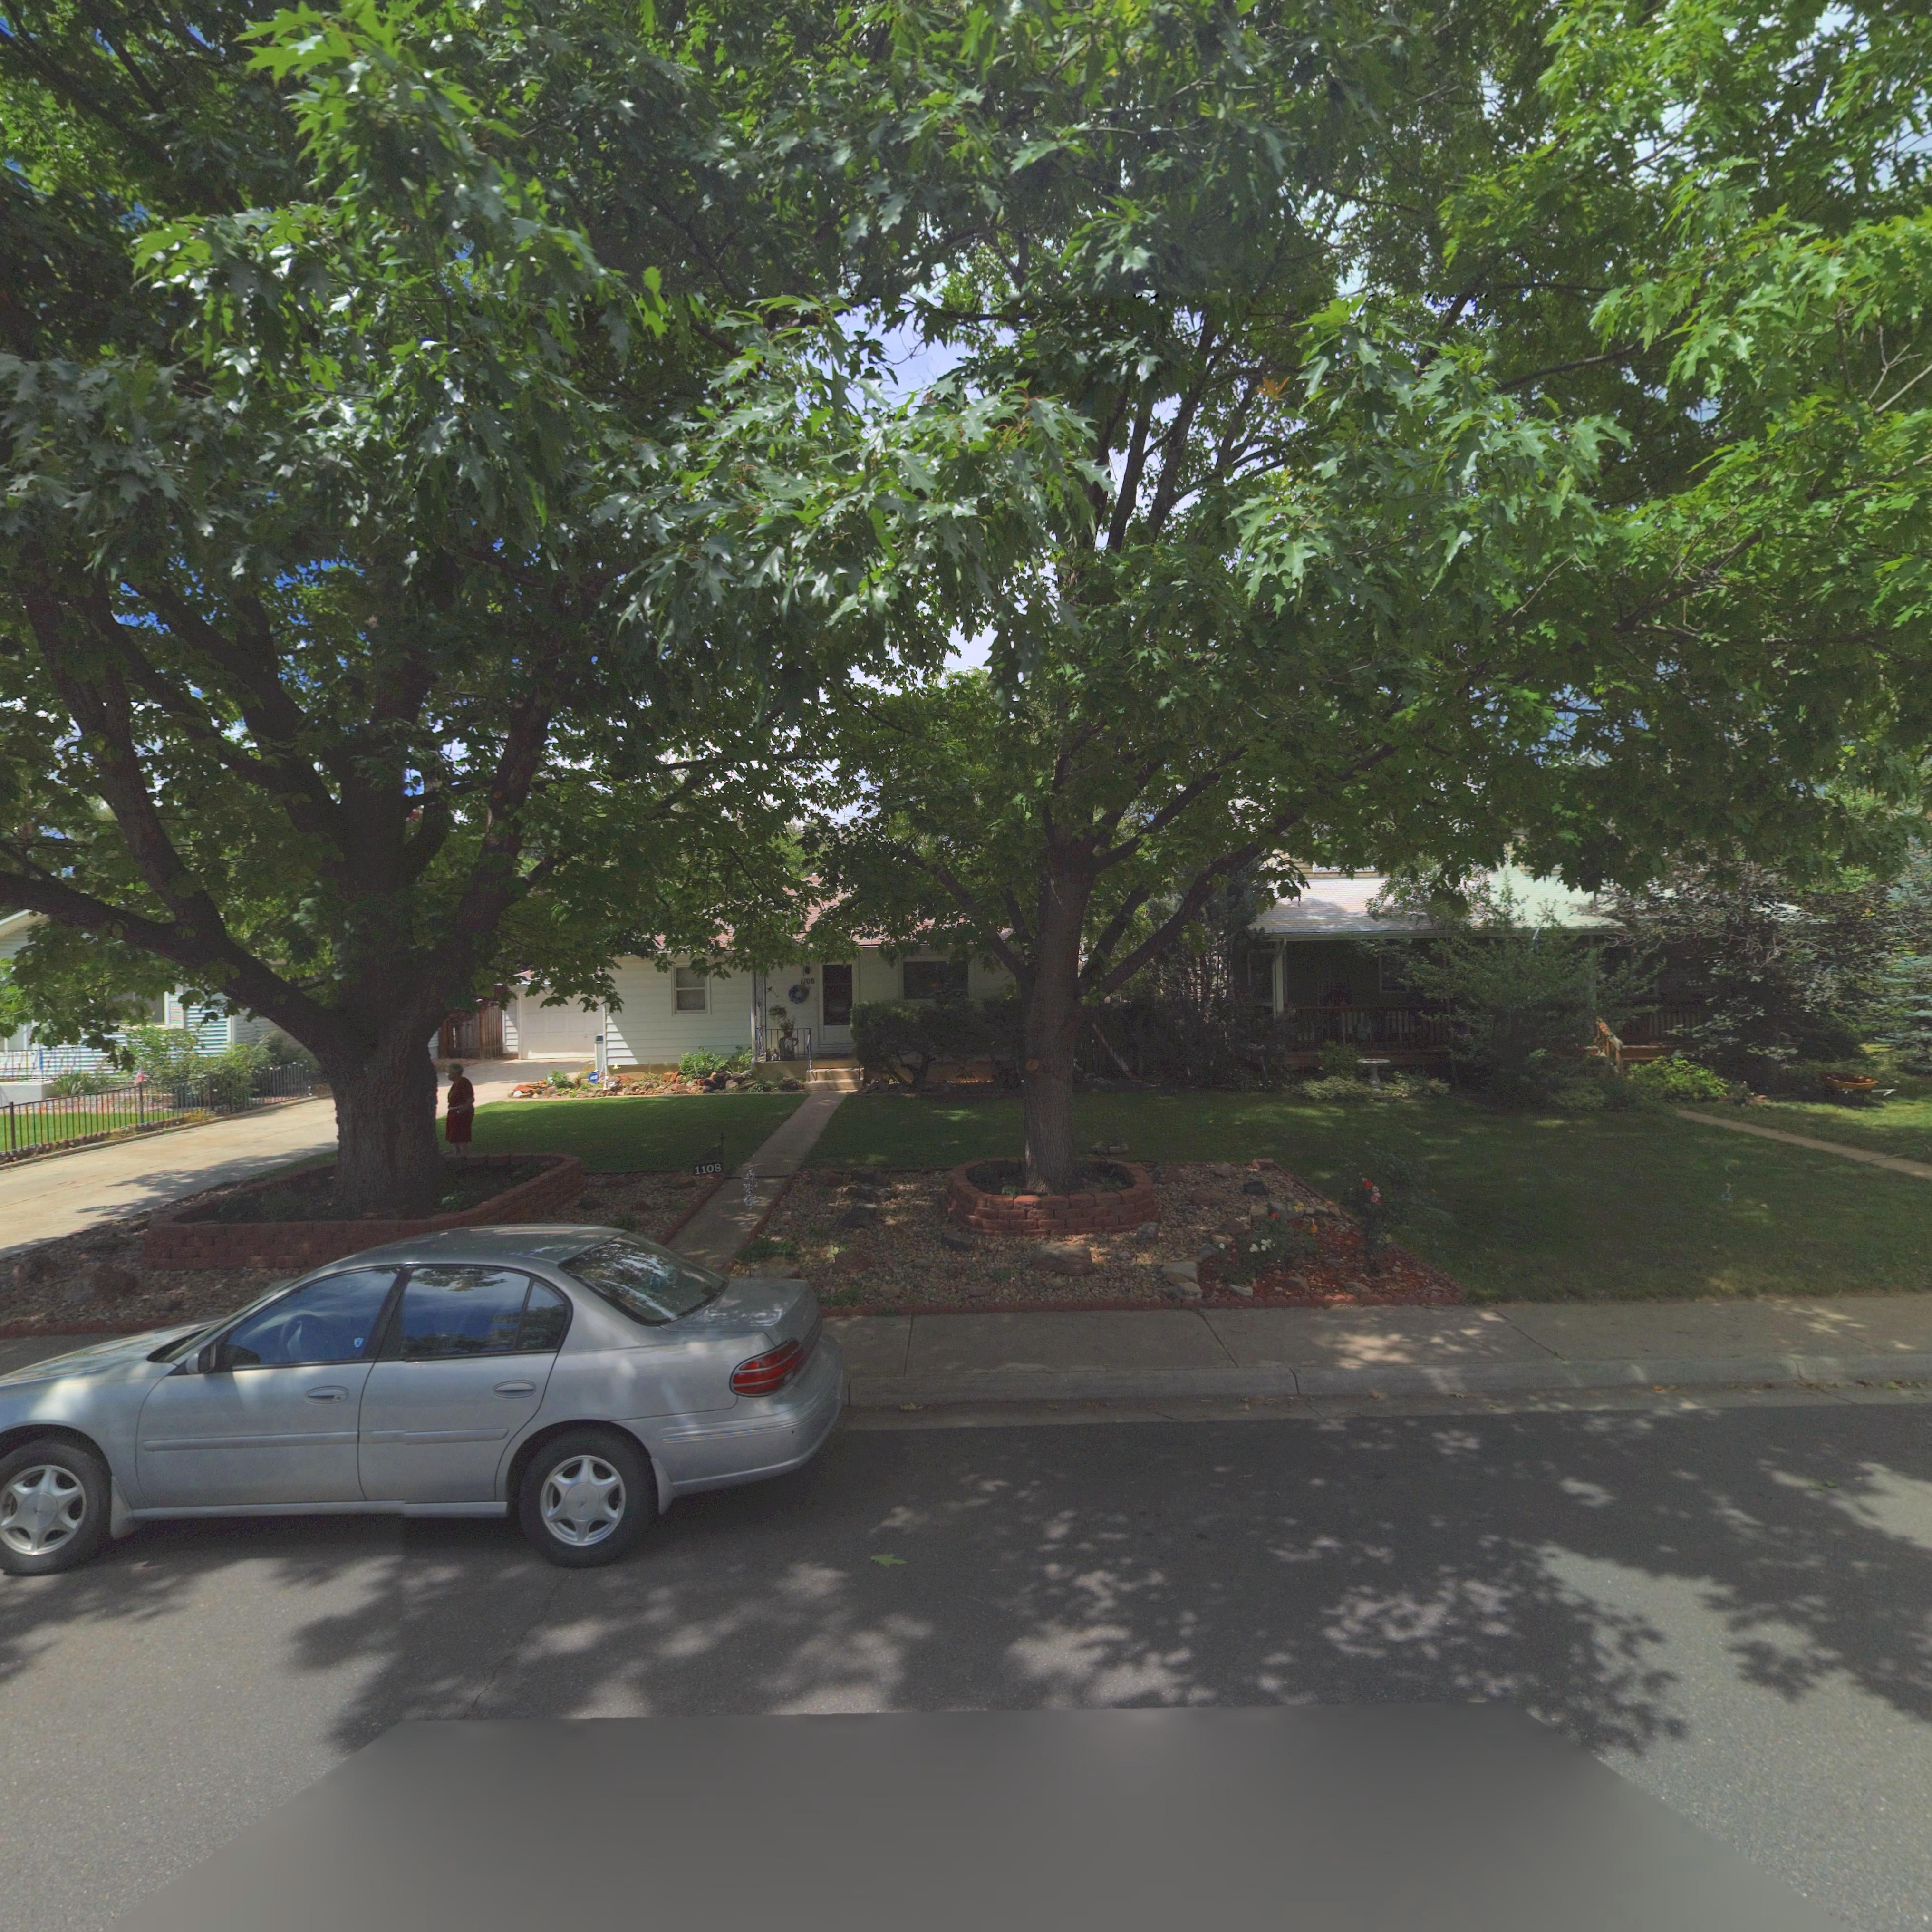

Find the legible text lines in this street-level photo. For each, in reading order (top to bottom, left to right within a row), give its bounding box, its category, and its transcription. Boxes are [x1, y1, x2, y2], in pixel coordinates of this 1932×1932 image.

[799, 977, 815, 984] StreetNumber: 1108
[695, 1162, 722, 1175] StreetNumber: 1108